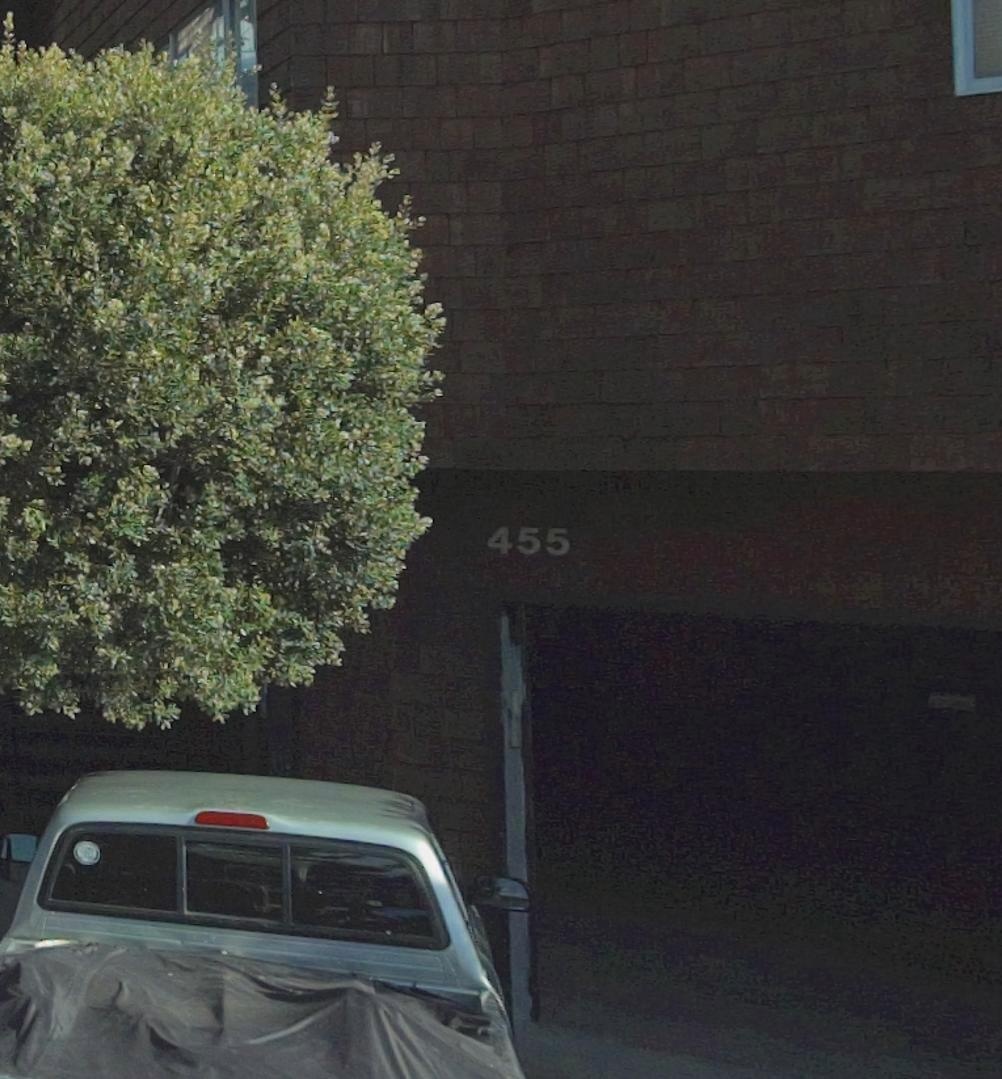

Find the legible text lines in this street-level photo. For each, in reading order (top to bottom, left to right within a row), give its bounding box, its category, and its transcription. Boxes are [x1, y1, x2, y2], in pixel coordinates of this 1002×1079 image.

[484, 523, 572, 557] StreetNumber: 455